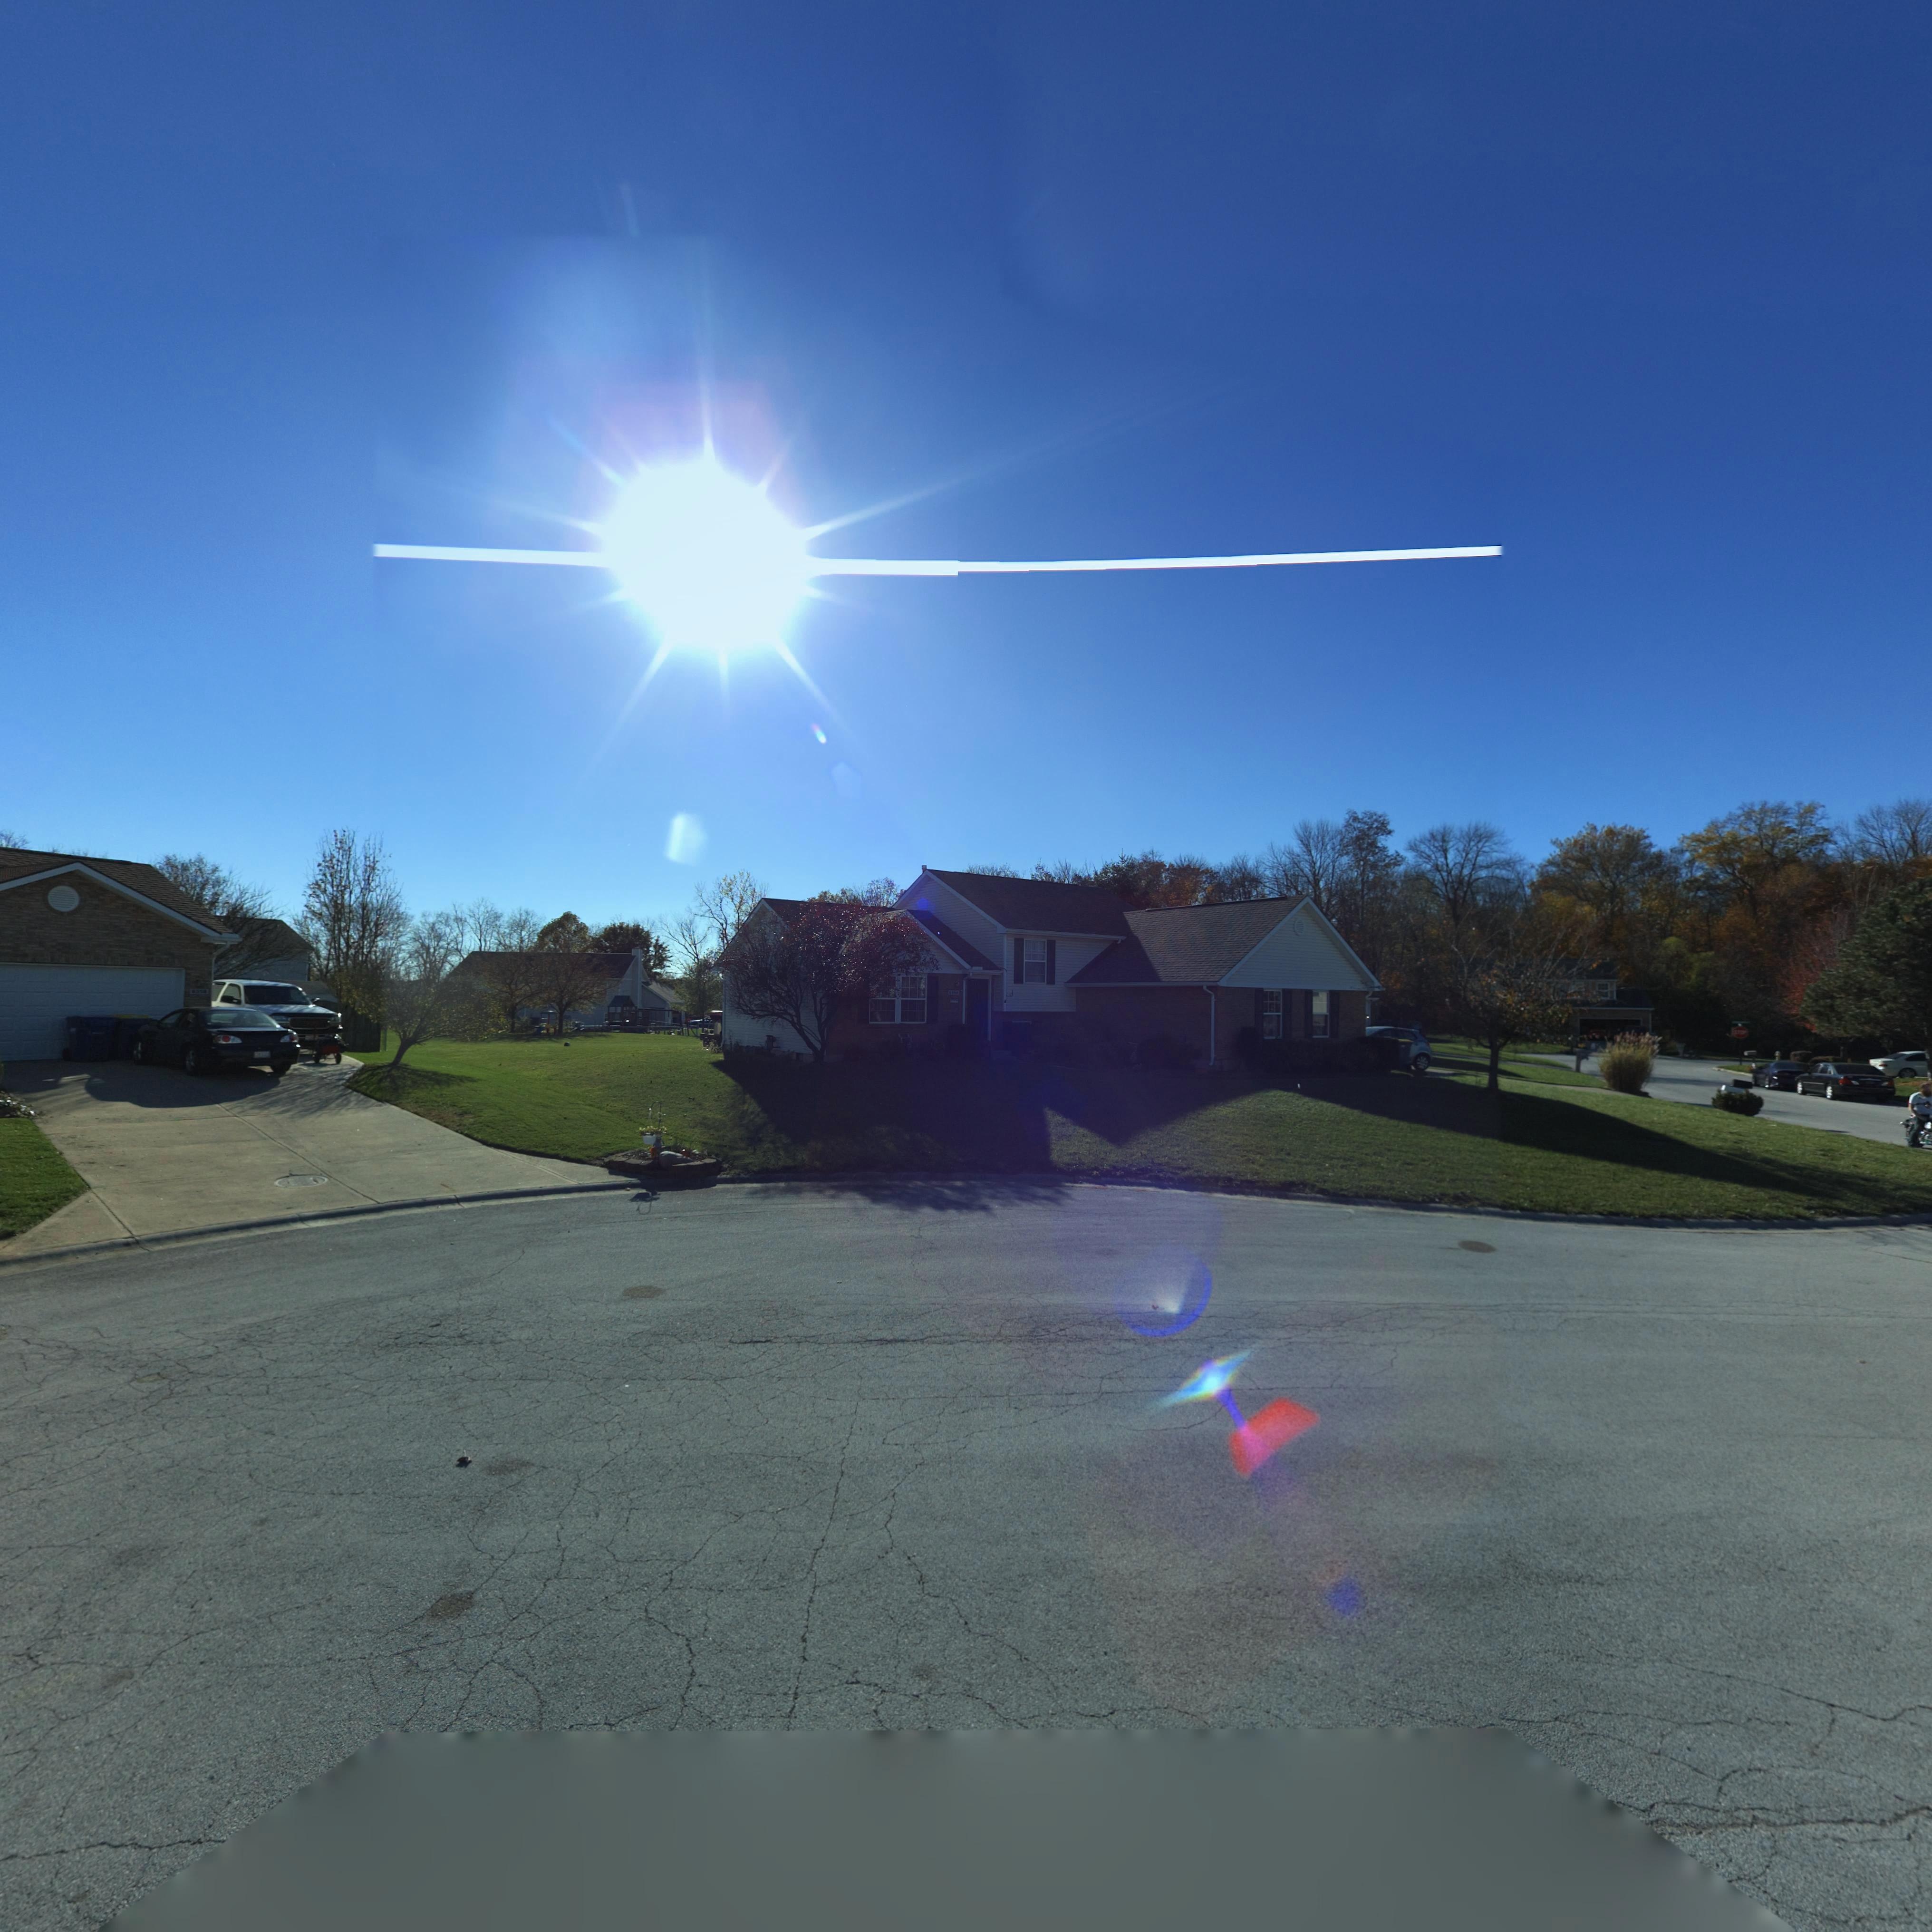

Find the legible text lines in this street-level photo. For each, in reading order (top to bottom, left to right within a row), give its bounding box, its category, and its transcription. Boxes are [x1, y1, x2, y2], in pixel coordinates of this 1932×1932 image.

[191, 989, 207, 994] StreetNumber: 6358
[948, 990, 959, 995] StreetNumber: 6*50